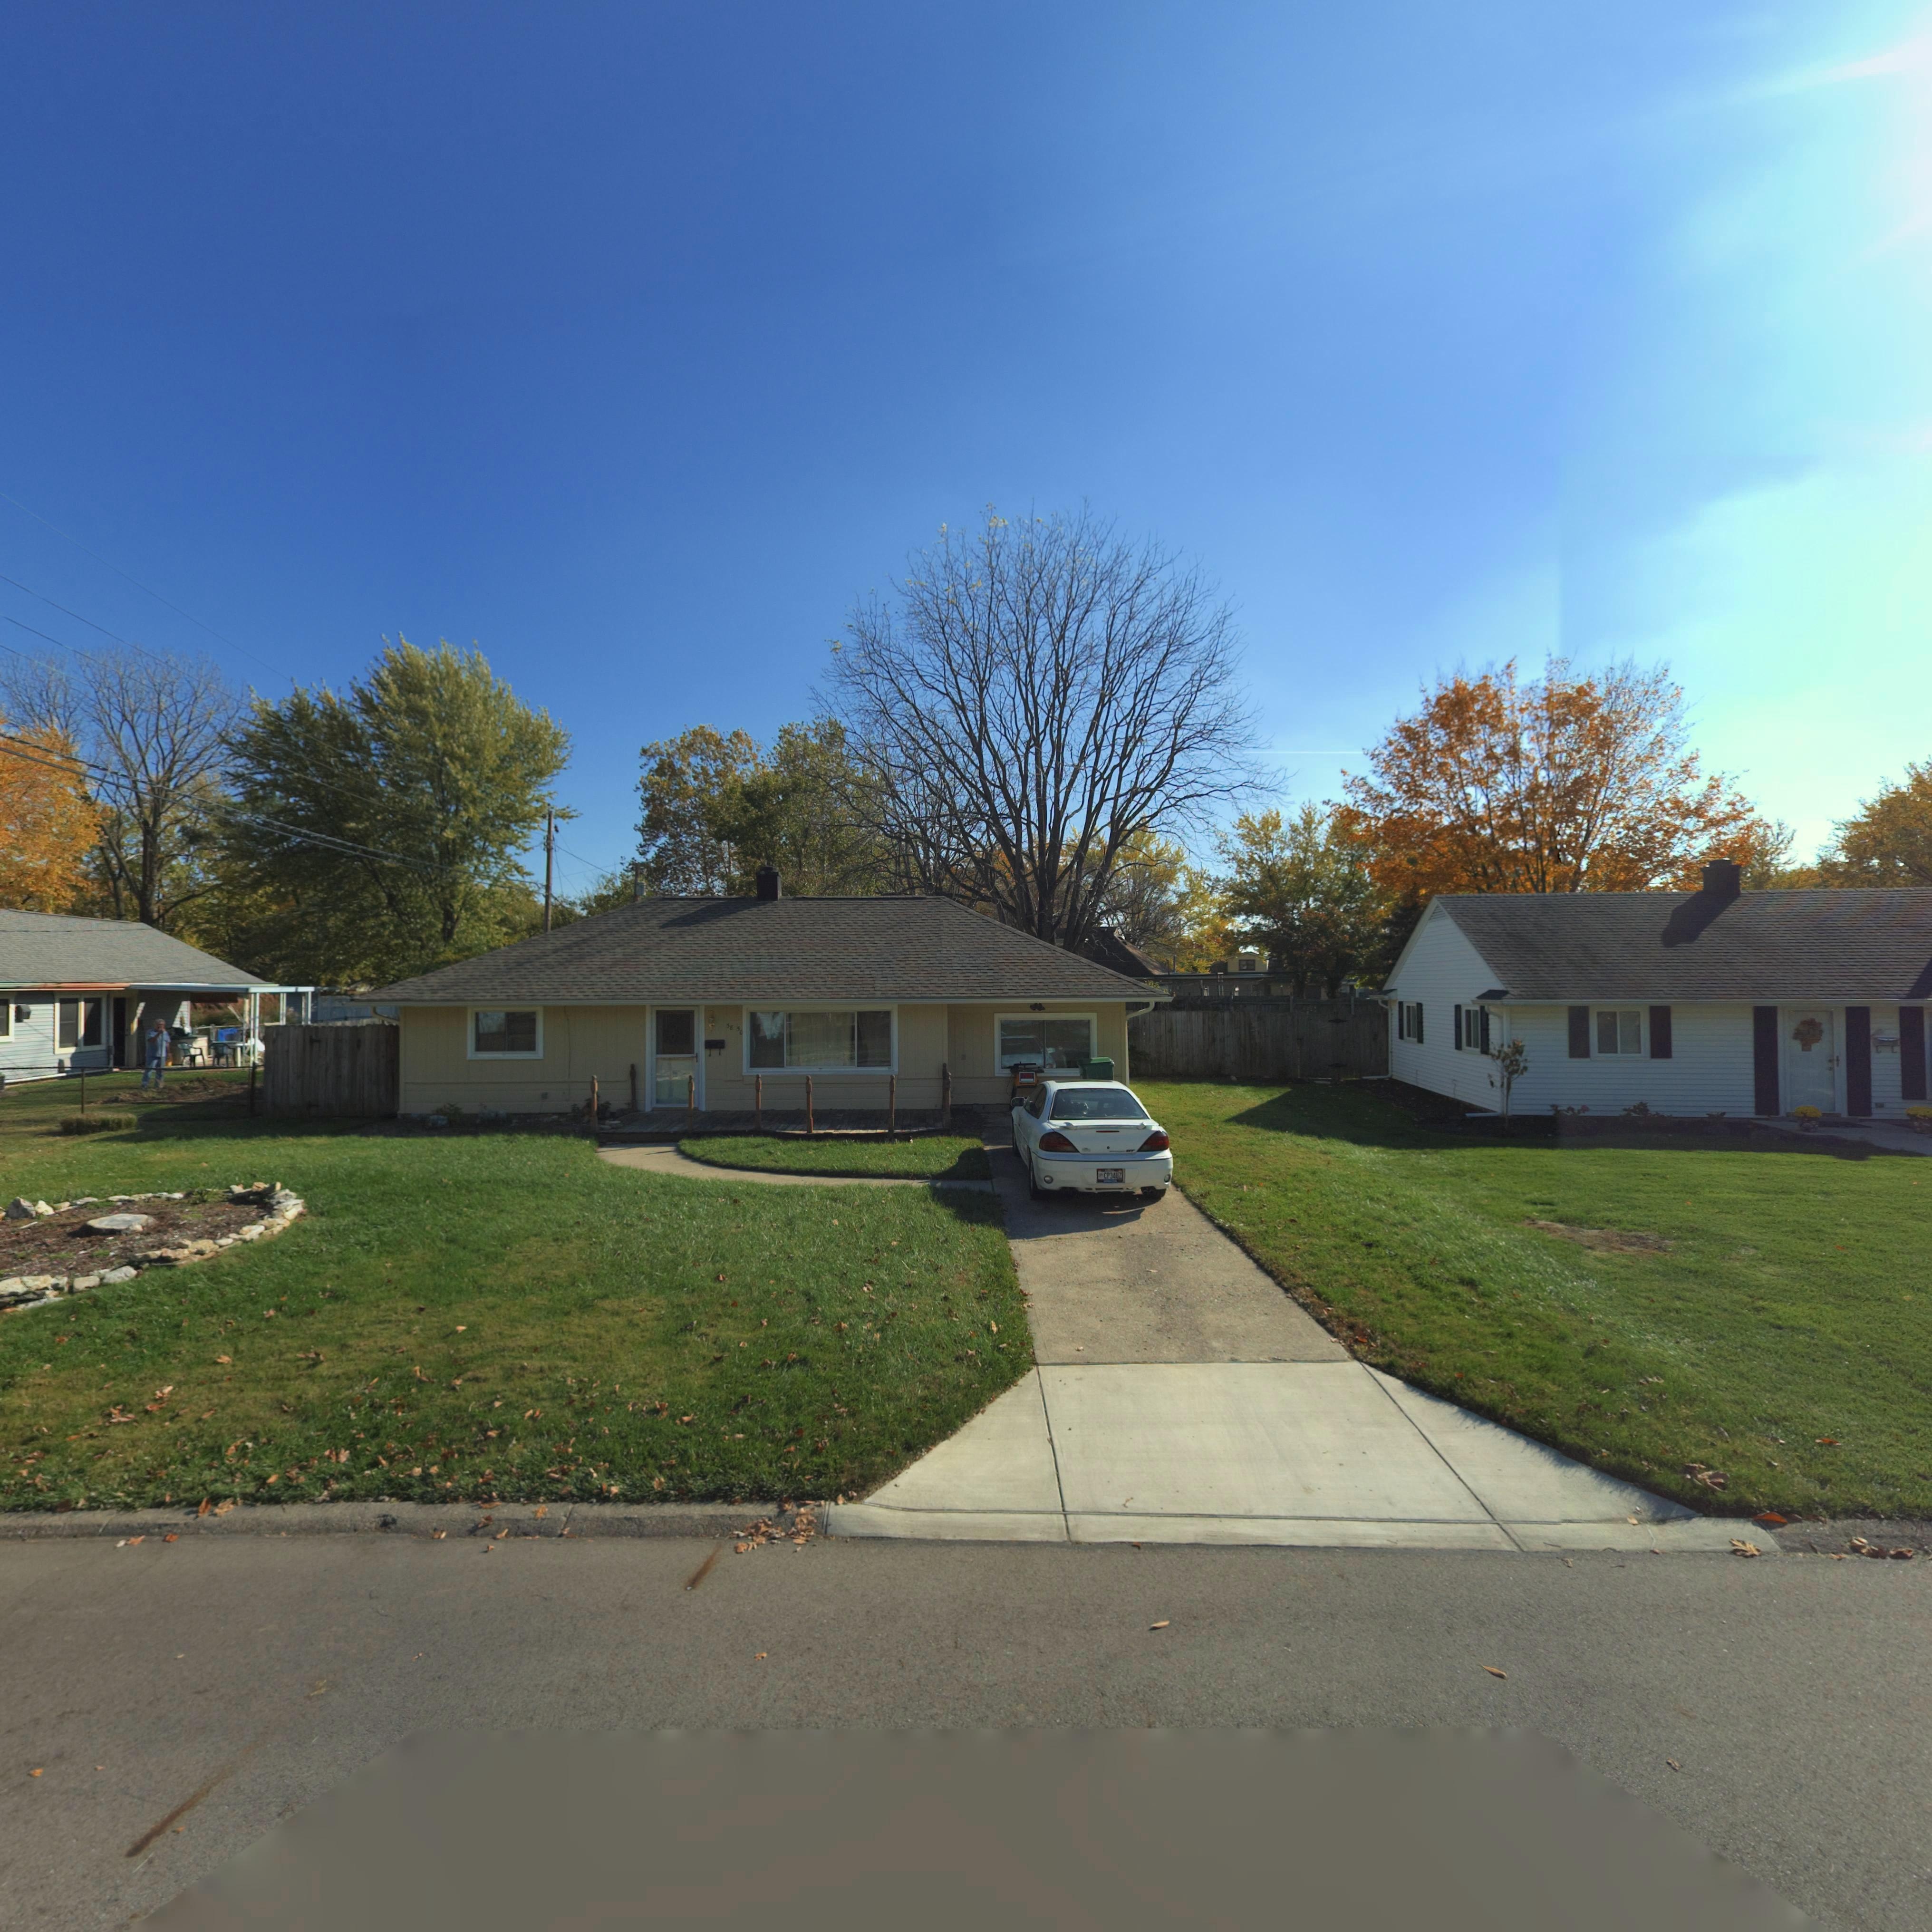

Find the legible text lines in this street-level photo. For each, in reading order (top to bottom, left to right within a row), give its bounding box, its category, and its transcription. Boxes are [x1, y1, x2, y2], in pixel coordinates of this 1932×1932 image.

[725, 1022, 744, 1036] StreetNumber: 38 50
[1103, 1171, 1123, 1180] None: CP34UZ